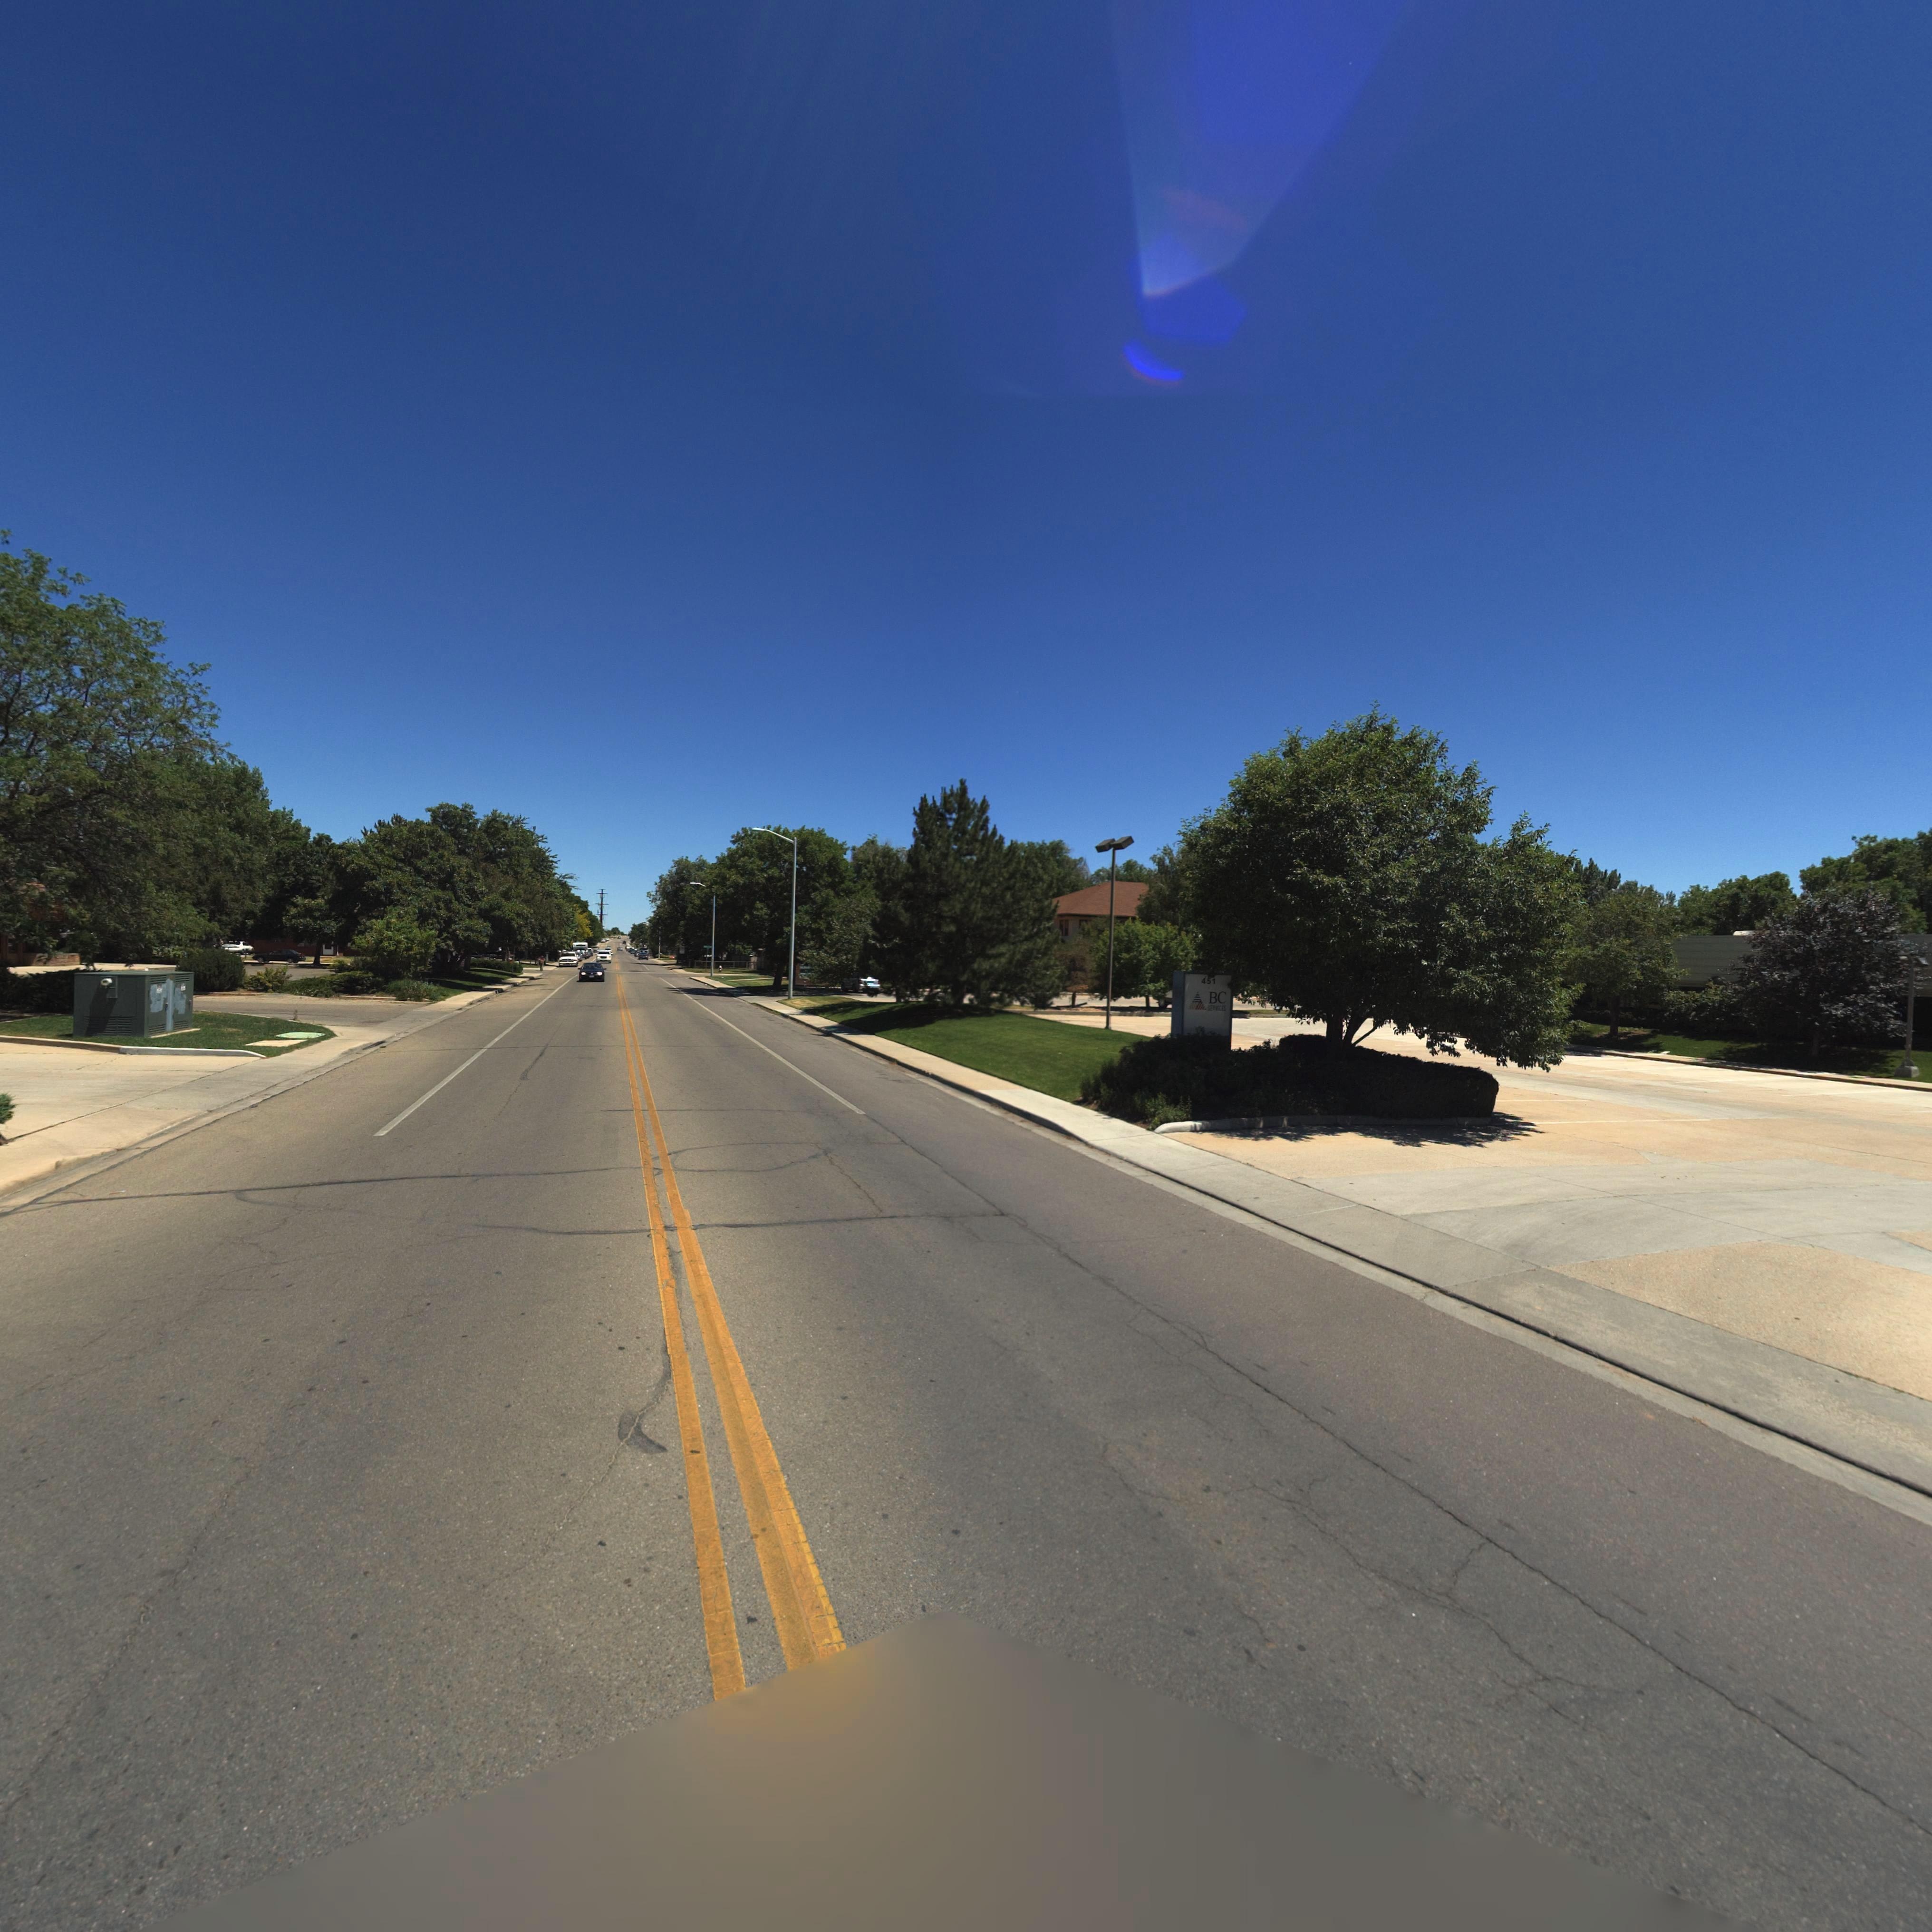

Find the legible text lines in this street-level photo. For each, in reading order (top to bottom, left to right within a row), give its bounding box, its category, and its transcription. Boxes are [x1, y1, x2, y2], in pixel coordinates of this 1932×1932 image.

[1200, 977, 1215, 985] StreetNumber: 451
[1208, 991, 1227, 1004] BusinessName: BC
[1206, 1004, 1227, 1011] BusinessName: SERVICES